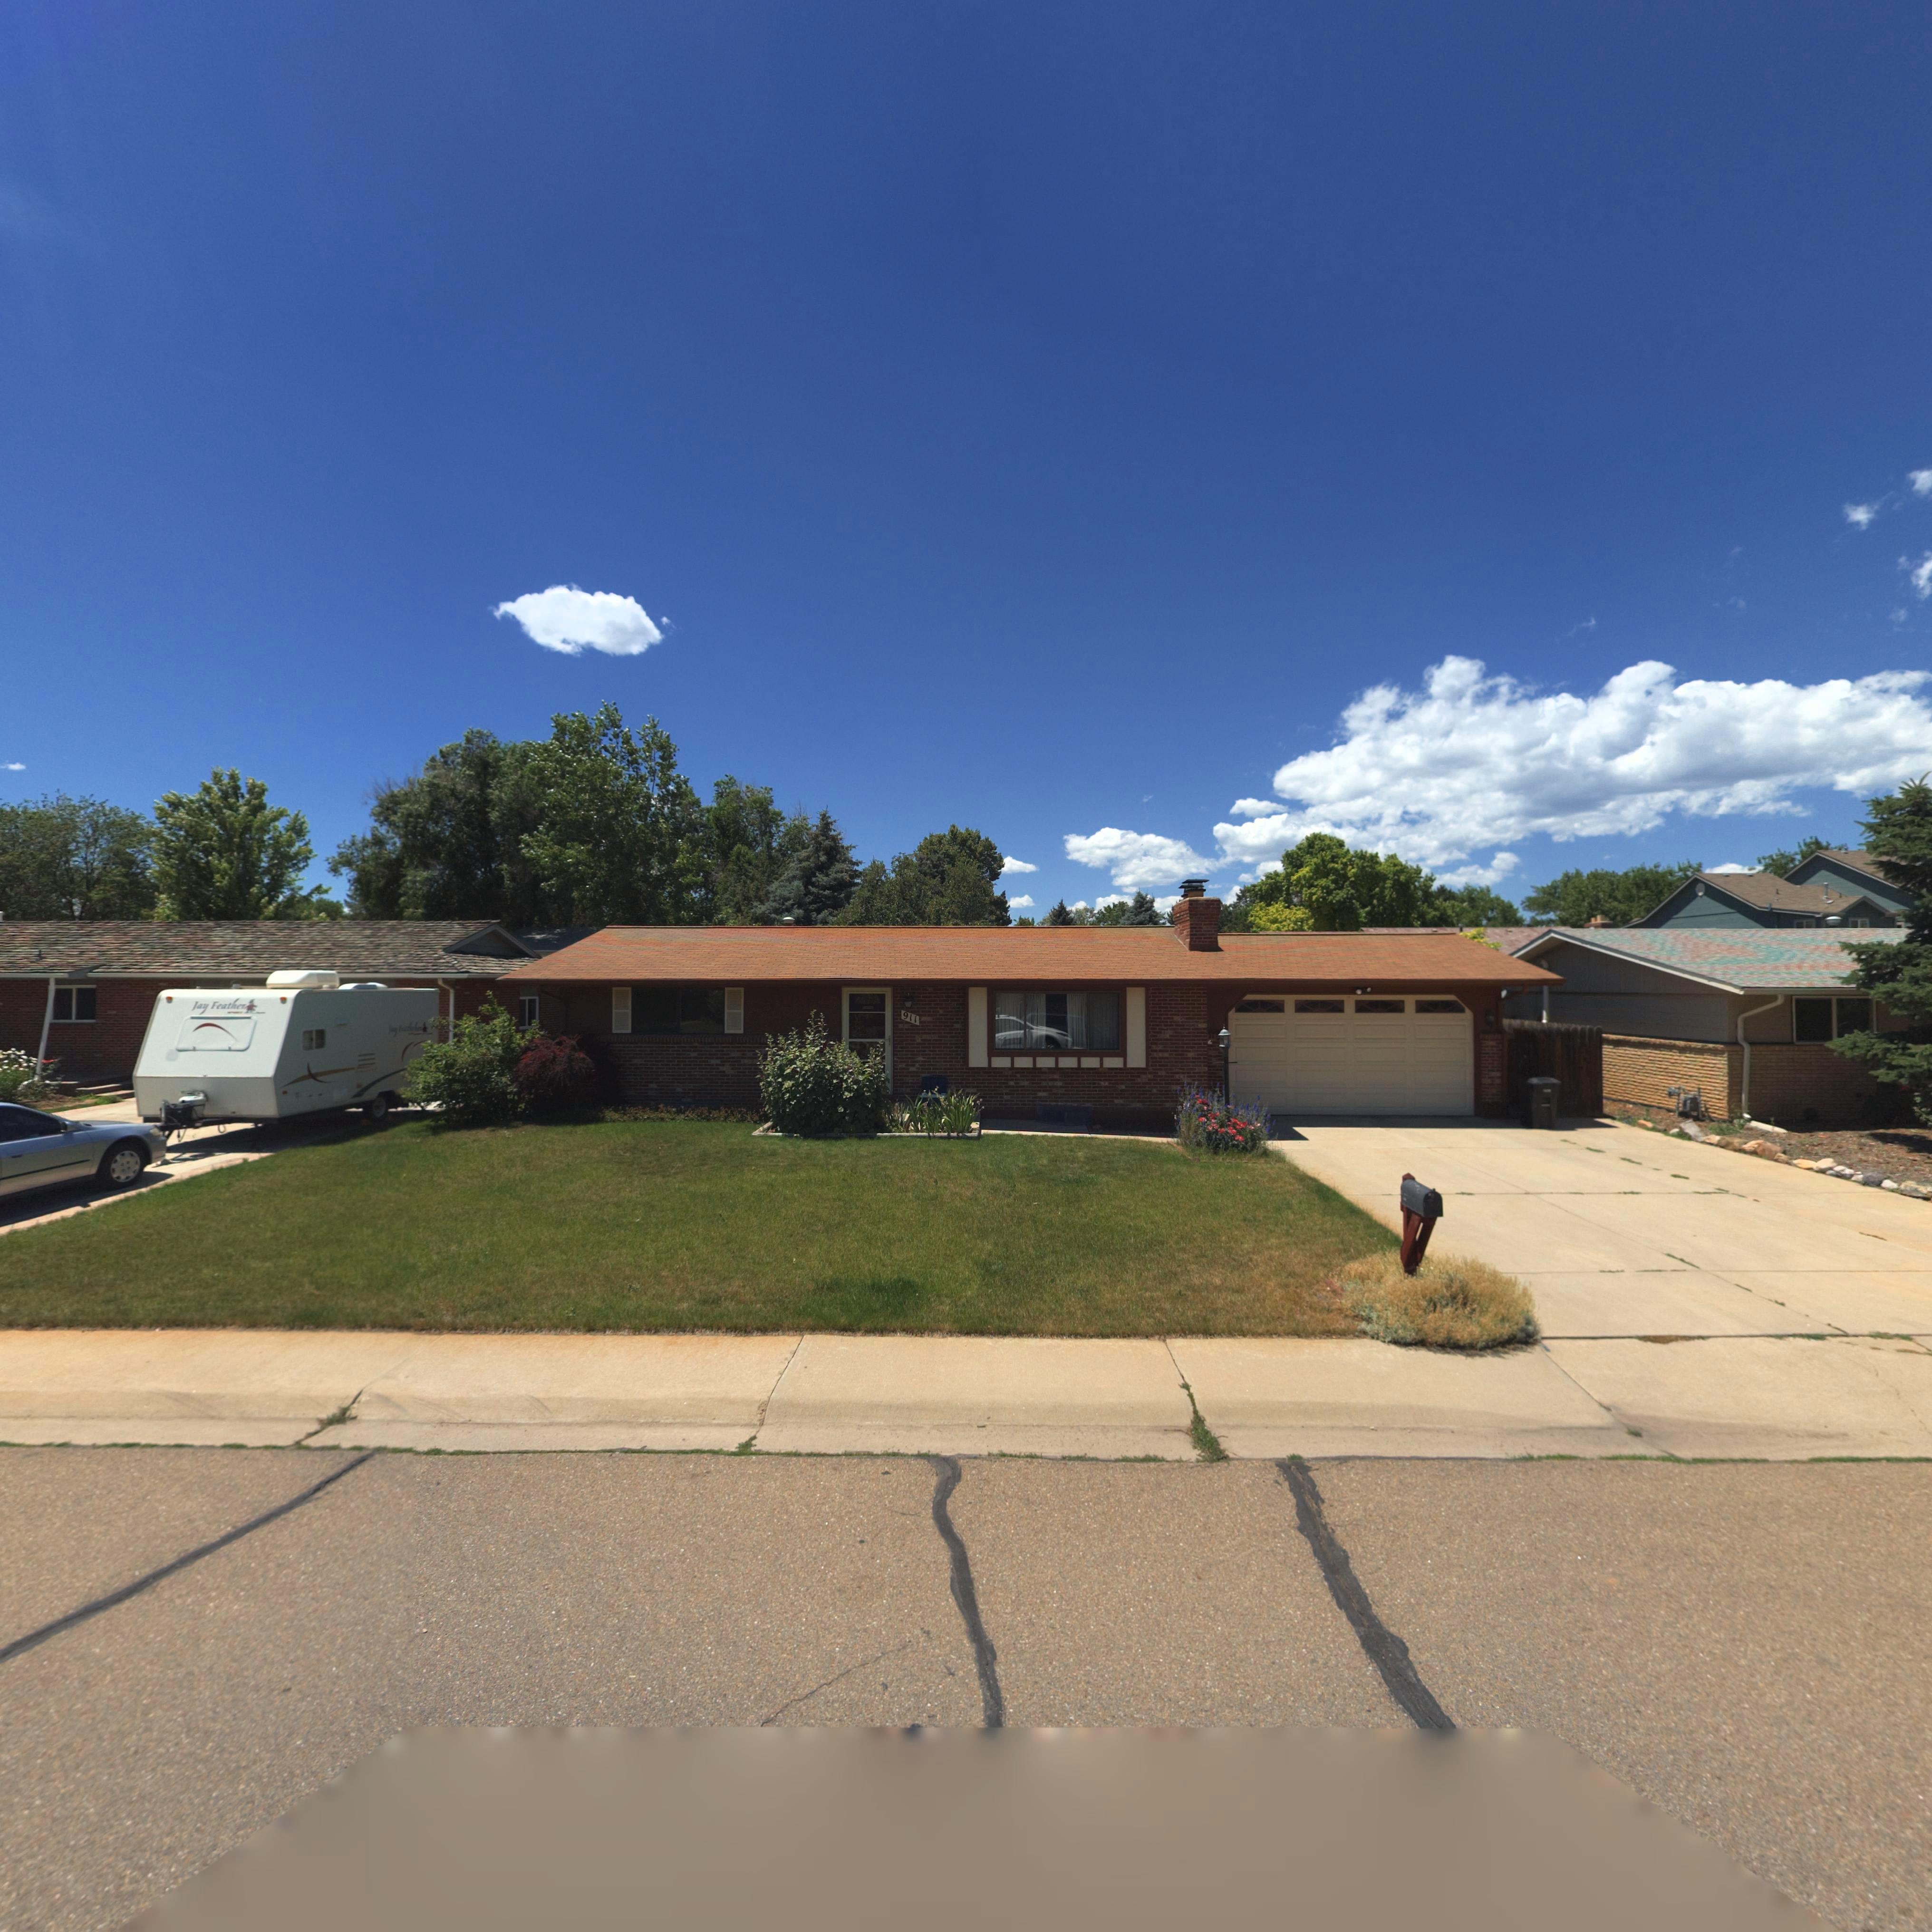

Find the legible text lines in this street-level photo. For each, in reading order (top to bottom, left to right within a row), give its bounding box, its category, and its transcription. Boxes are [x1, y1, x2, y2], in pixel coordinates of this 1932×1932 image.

[903, 1011, 917, 1023] StreetNumber: 911